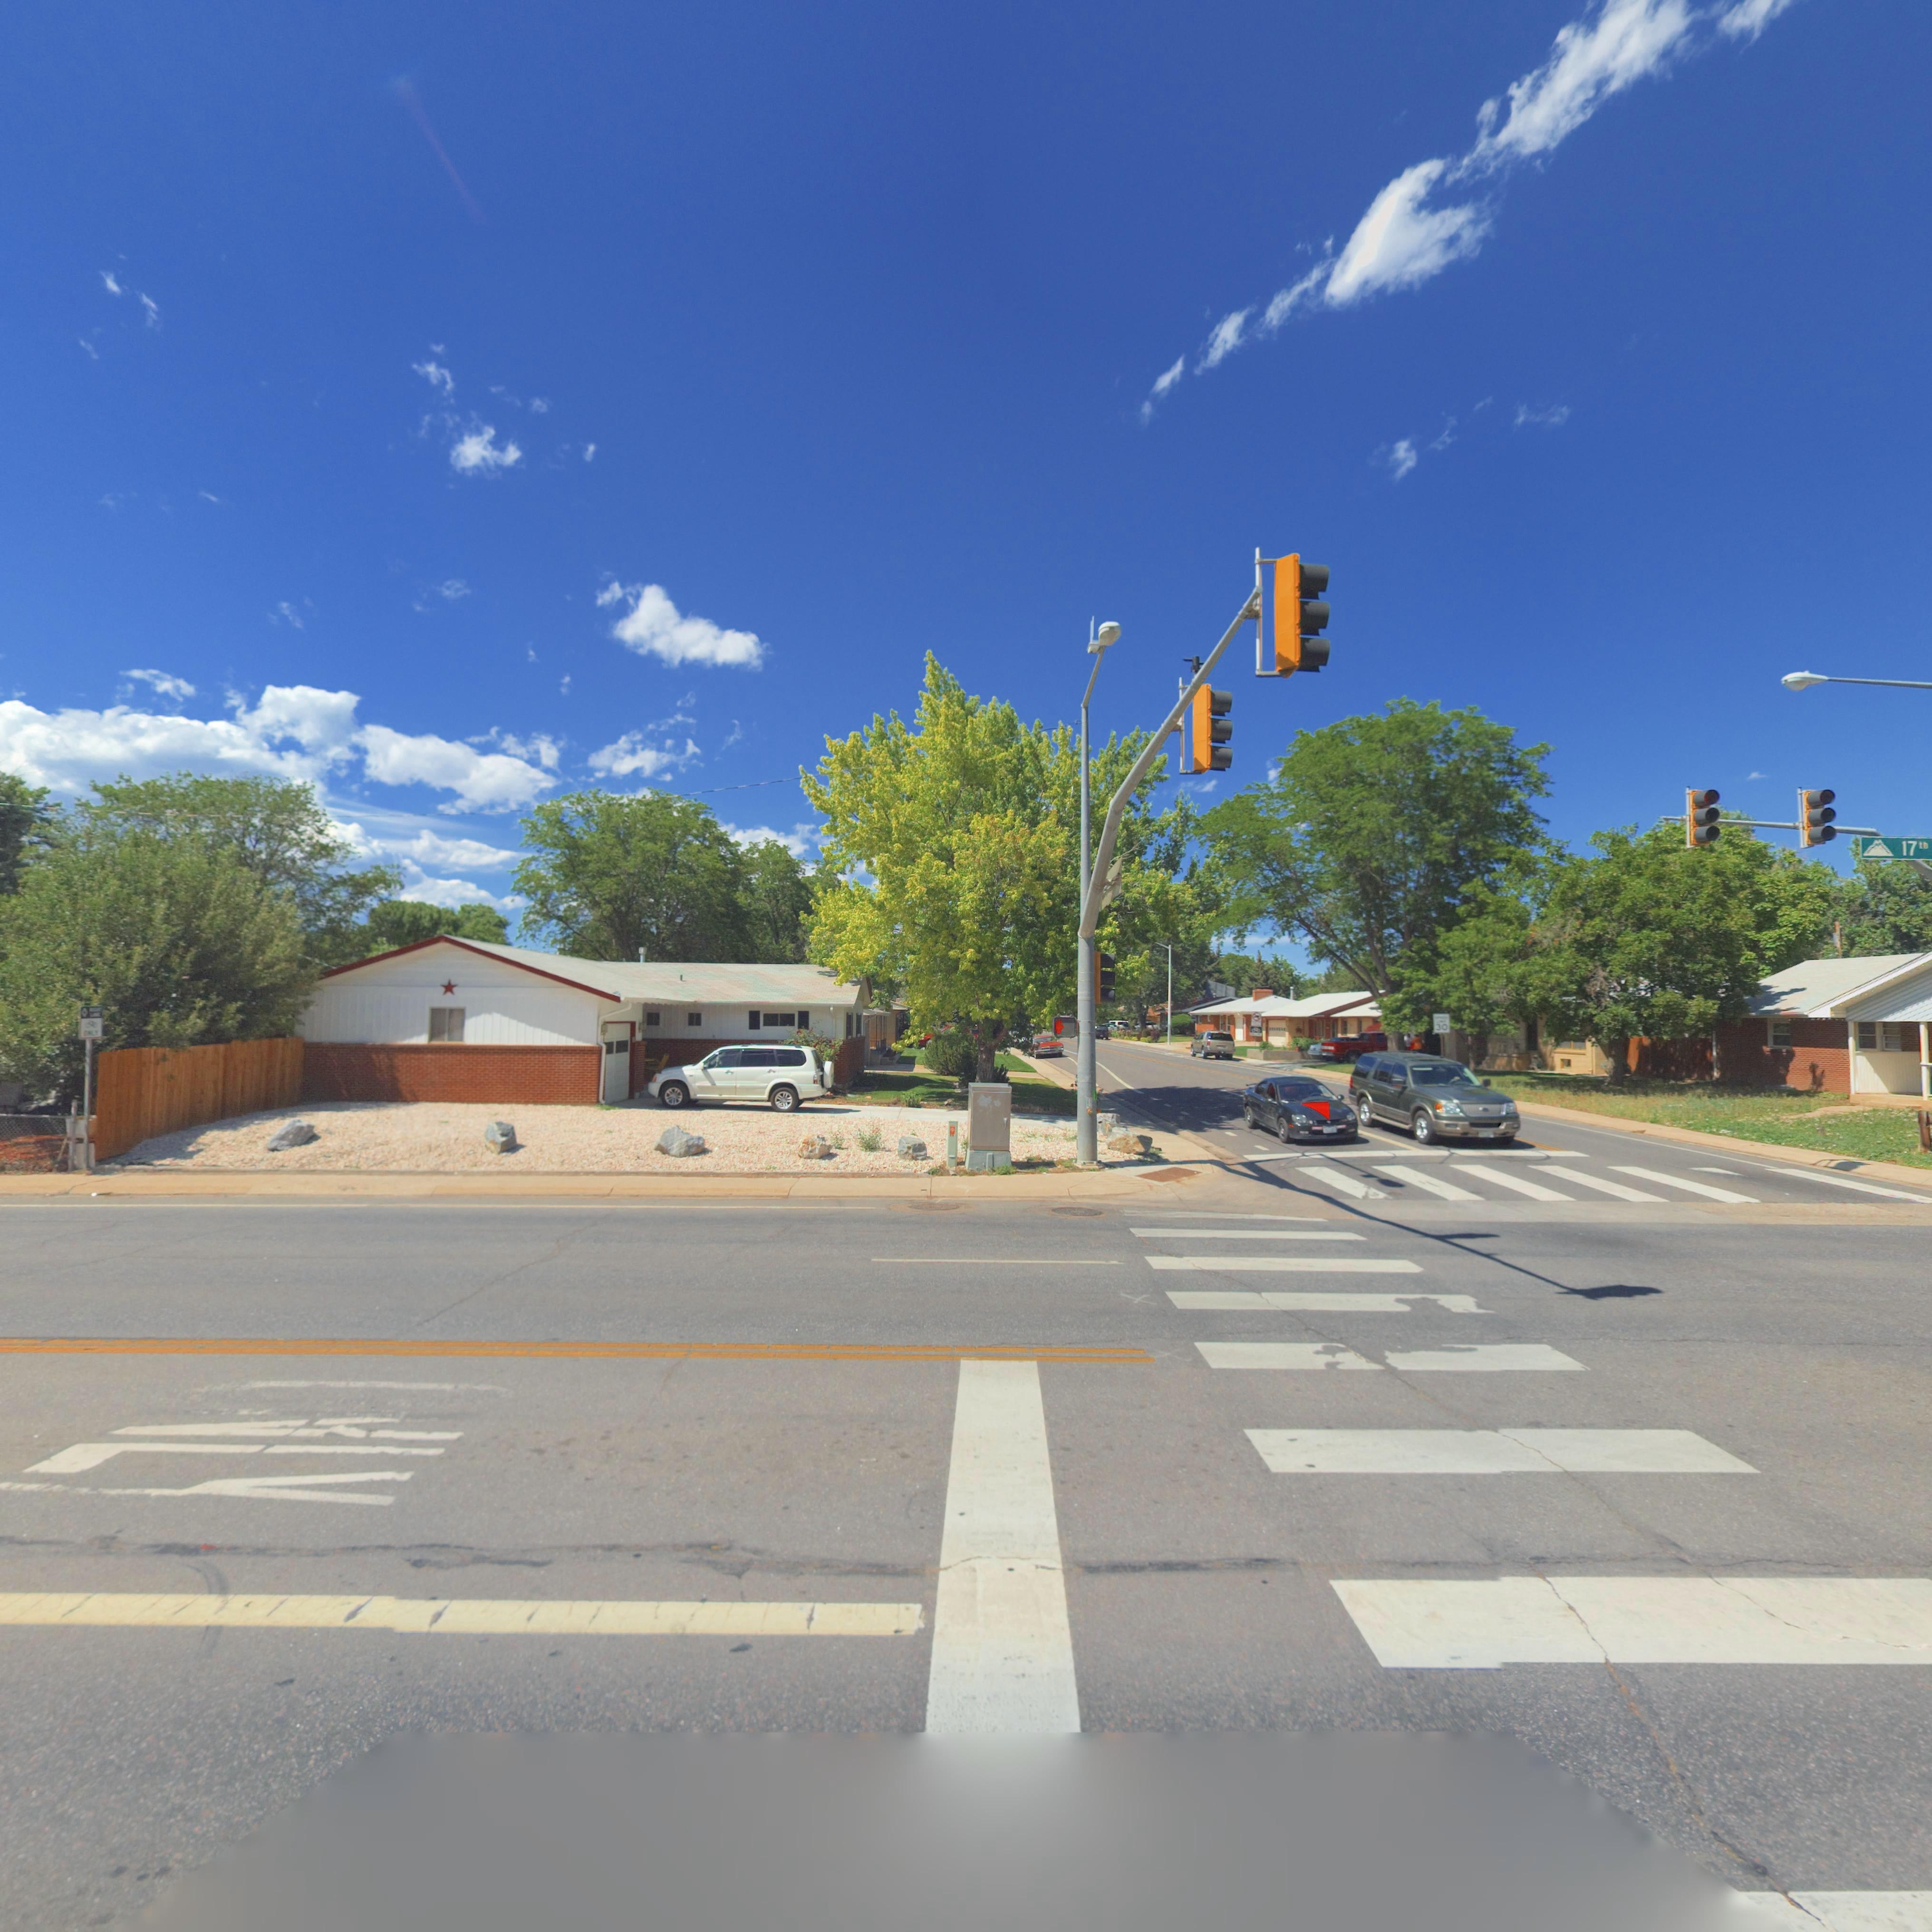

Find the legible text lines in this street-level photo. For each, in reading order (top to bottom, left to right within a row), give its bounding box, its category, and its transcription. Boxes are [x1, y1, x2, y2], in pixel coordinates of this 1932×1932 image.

[1902, 840, 1928, 856] StreetName: 17th 